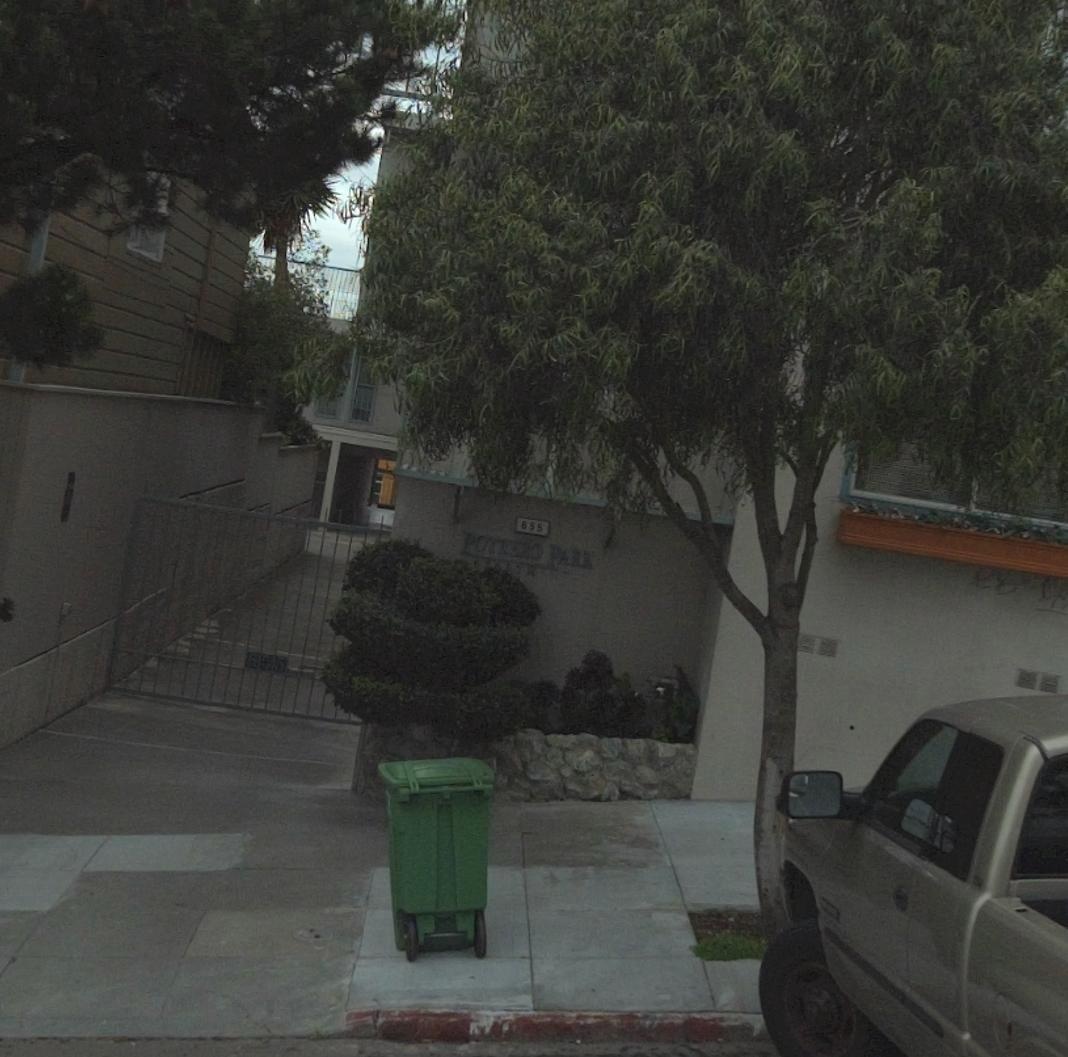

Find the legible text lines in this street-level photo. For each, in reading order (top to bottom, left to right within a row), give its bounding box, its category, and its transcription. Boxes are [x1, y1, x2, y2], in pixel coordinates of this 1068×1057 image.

[520, 519, 544, 533] StreetNumber: 655
[460, 530, 596, 570] BusinessName: POT**RO PARK
[245, 651, 288, 673] None: 655